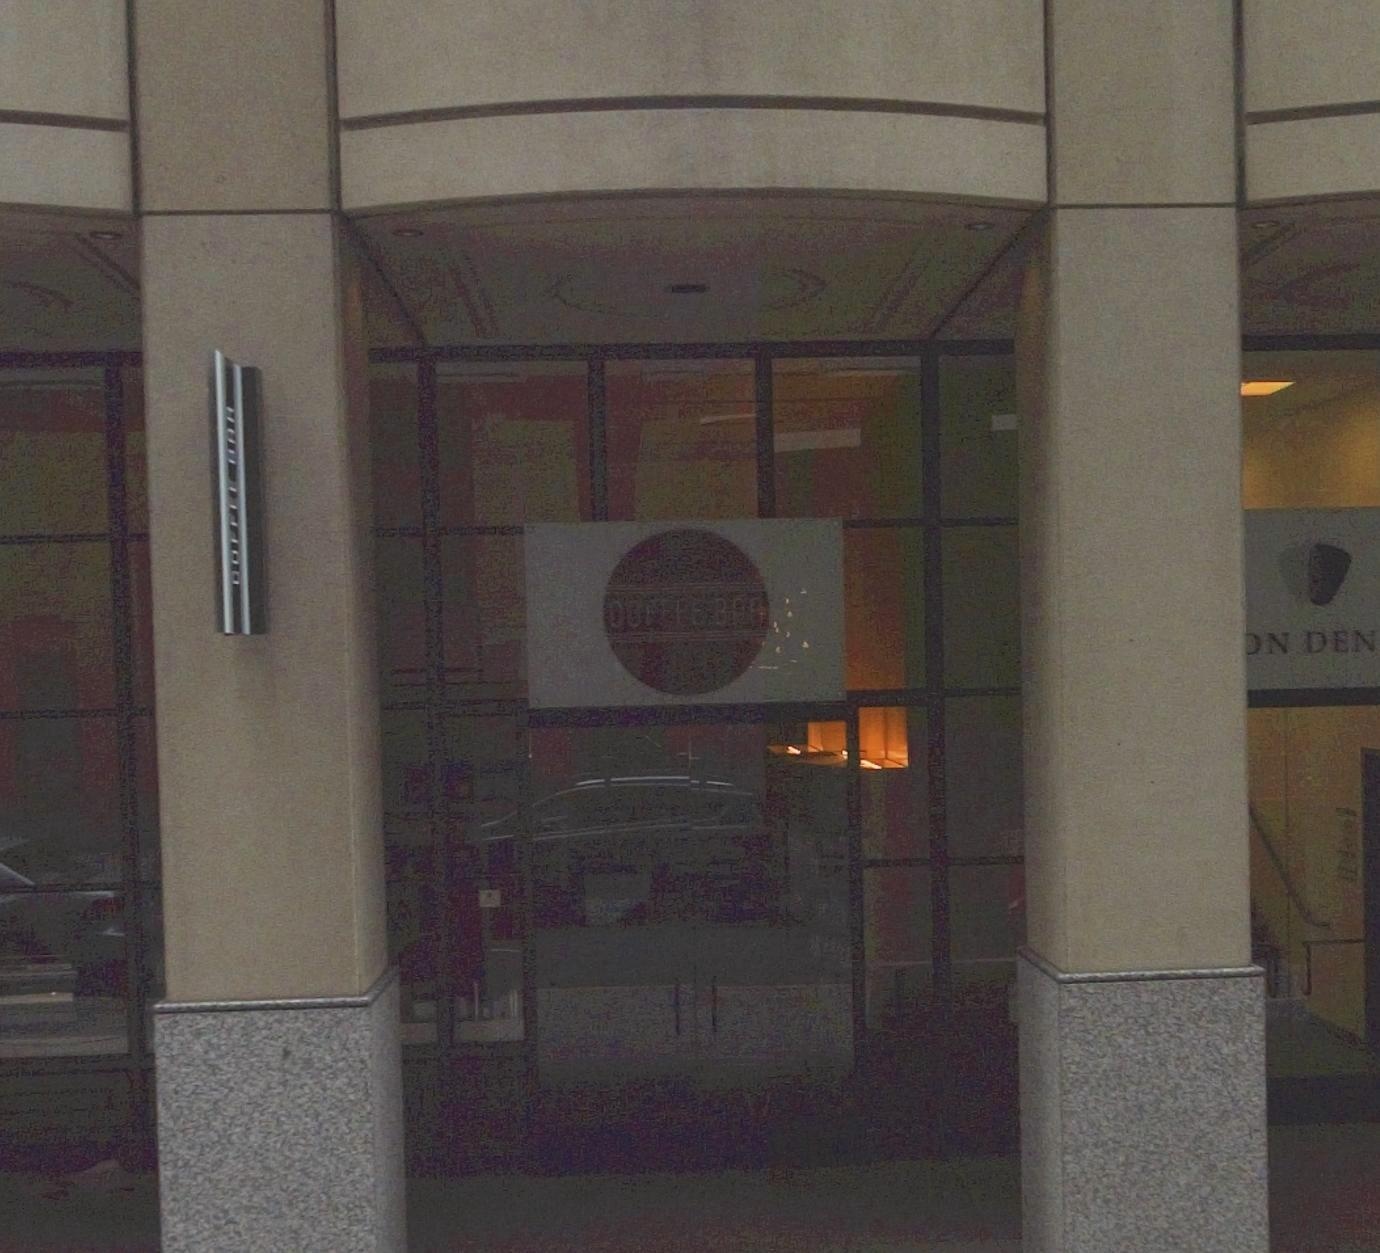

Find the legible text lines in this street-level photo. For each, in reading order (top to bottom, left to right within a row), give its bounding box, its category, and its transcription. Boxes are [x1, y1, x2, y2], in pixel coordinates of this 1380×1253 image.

[605, 594, 767, 634] BusinessName: COFFE BAR
[1262, 626, 1379, 659] BusinessName: N DEN